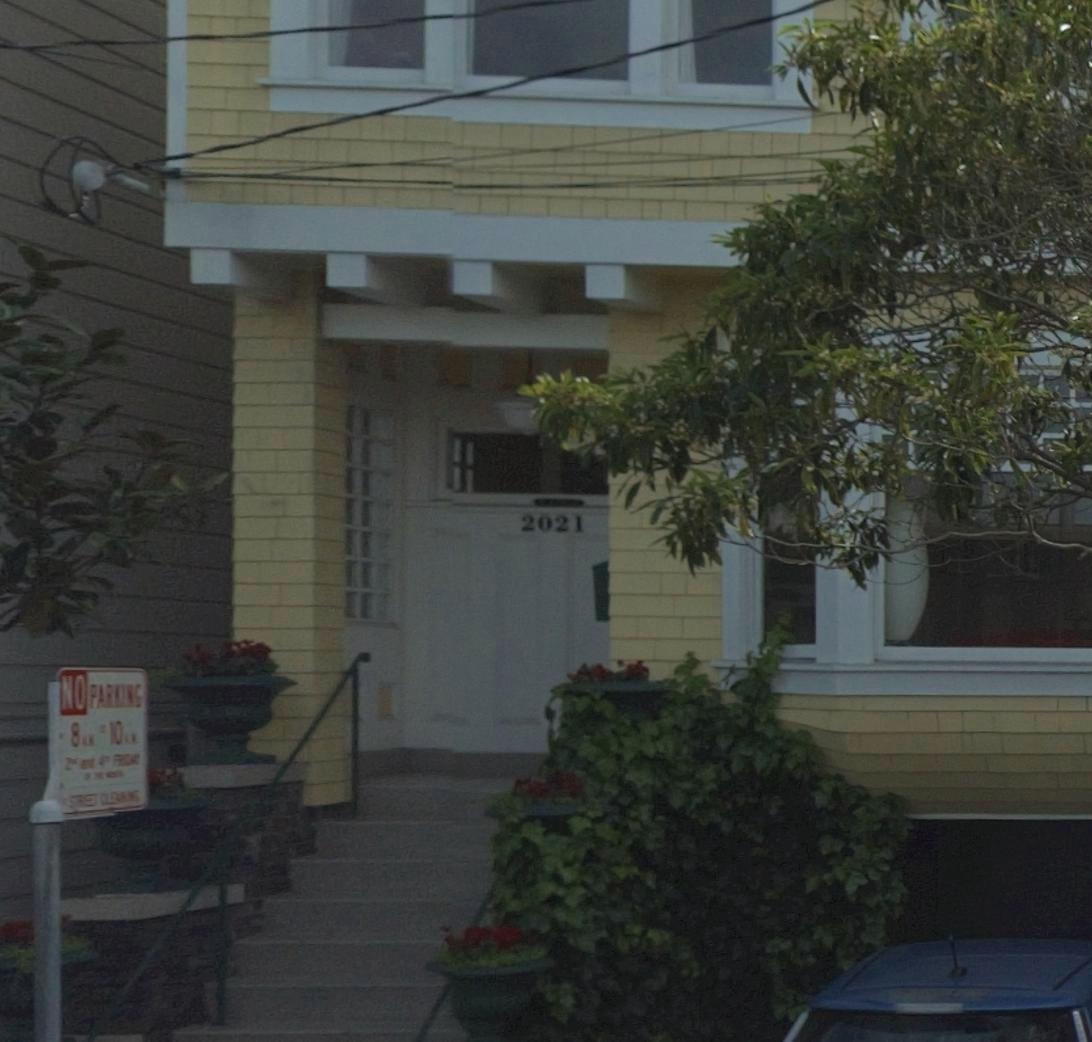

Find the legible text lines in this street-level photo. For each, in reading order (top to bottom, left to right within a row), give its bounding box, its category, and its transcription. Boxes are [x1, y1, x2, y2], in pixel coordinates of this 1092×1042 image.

[519, 512, 585, 534] StreetNumber: 2021
[59, 672, 145, 714] None: NO PARKING
[67, 720, 83, 750] None: 8
[107, 717, 126, 748] None: 10